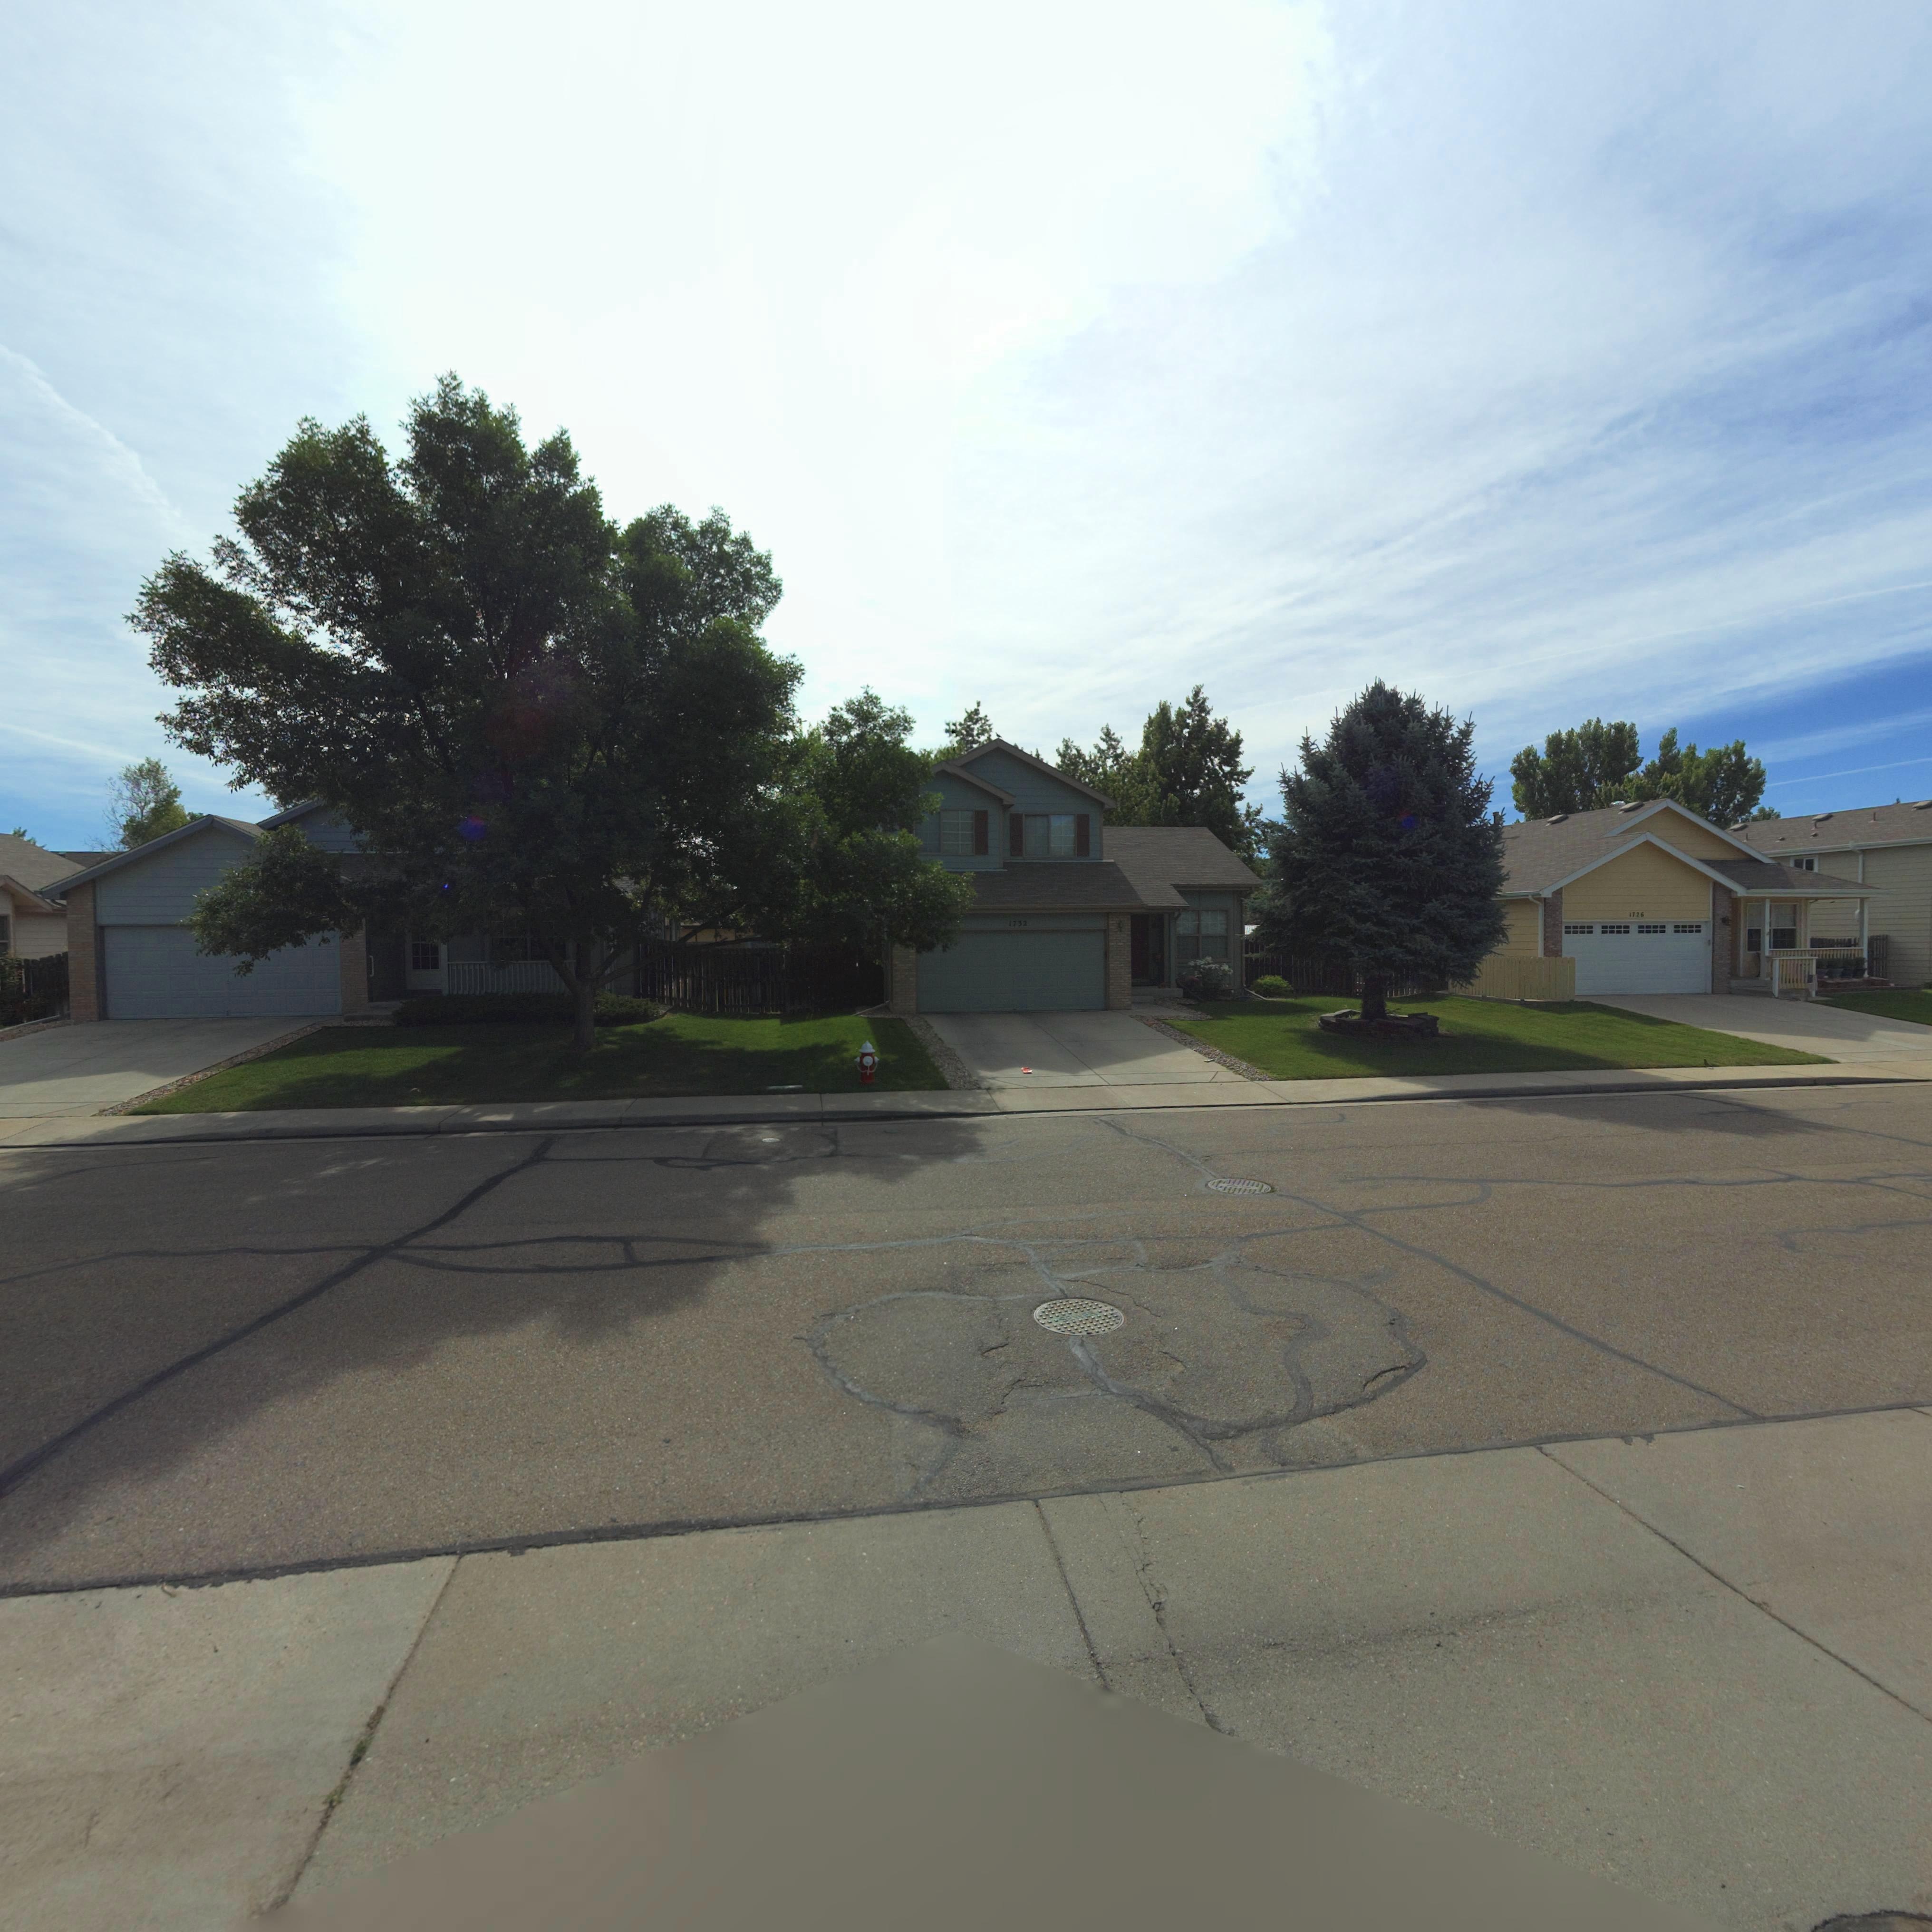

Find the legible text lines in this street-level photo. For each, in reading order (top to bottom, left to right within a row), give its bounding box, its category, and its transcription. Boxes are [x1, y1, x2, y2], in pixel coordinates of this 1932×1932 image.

[1629, 911, 1644, 918] StreetNumber: 1726
[1008, 919, 1027, 926] StreetNumber: 1732